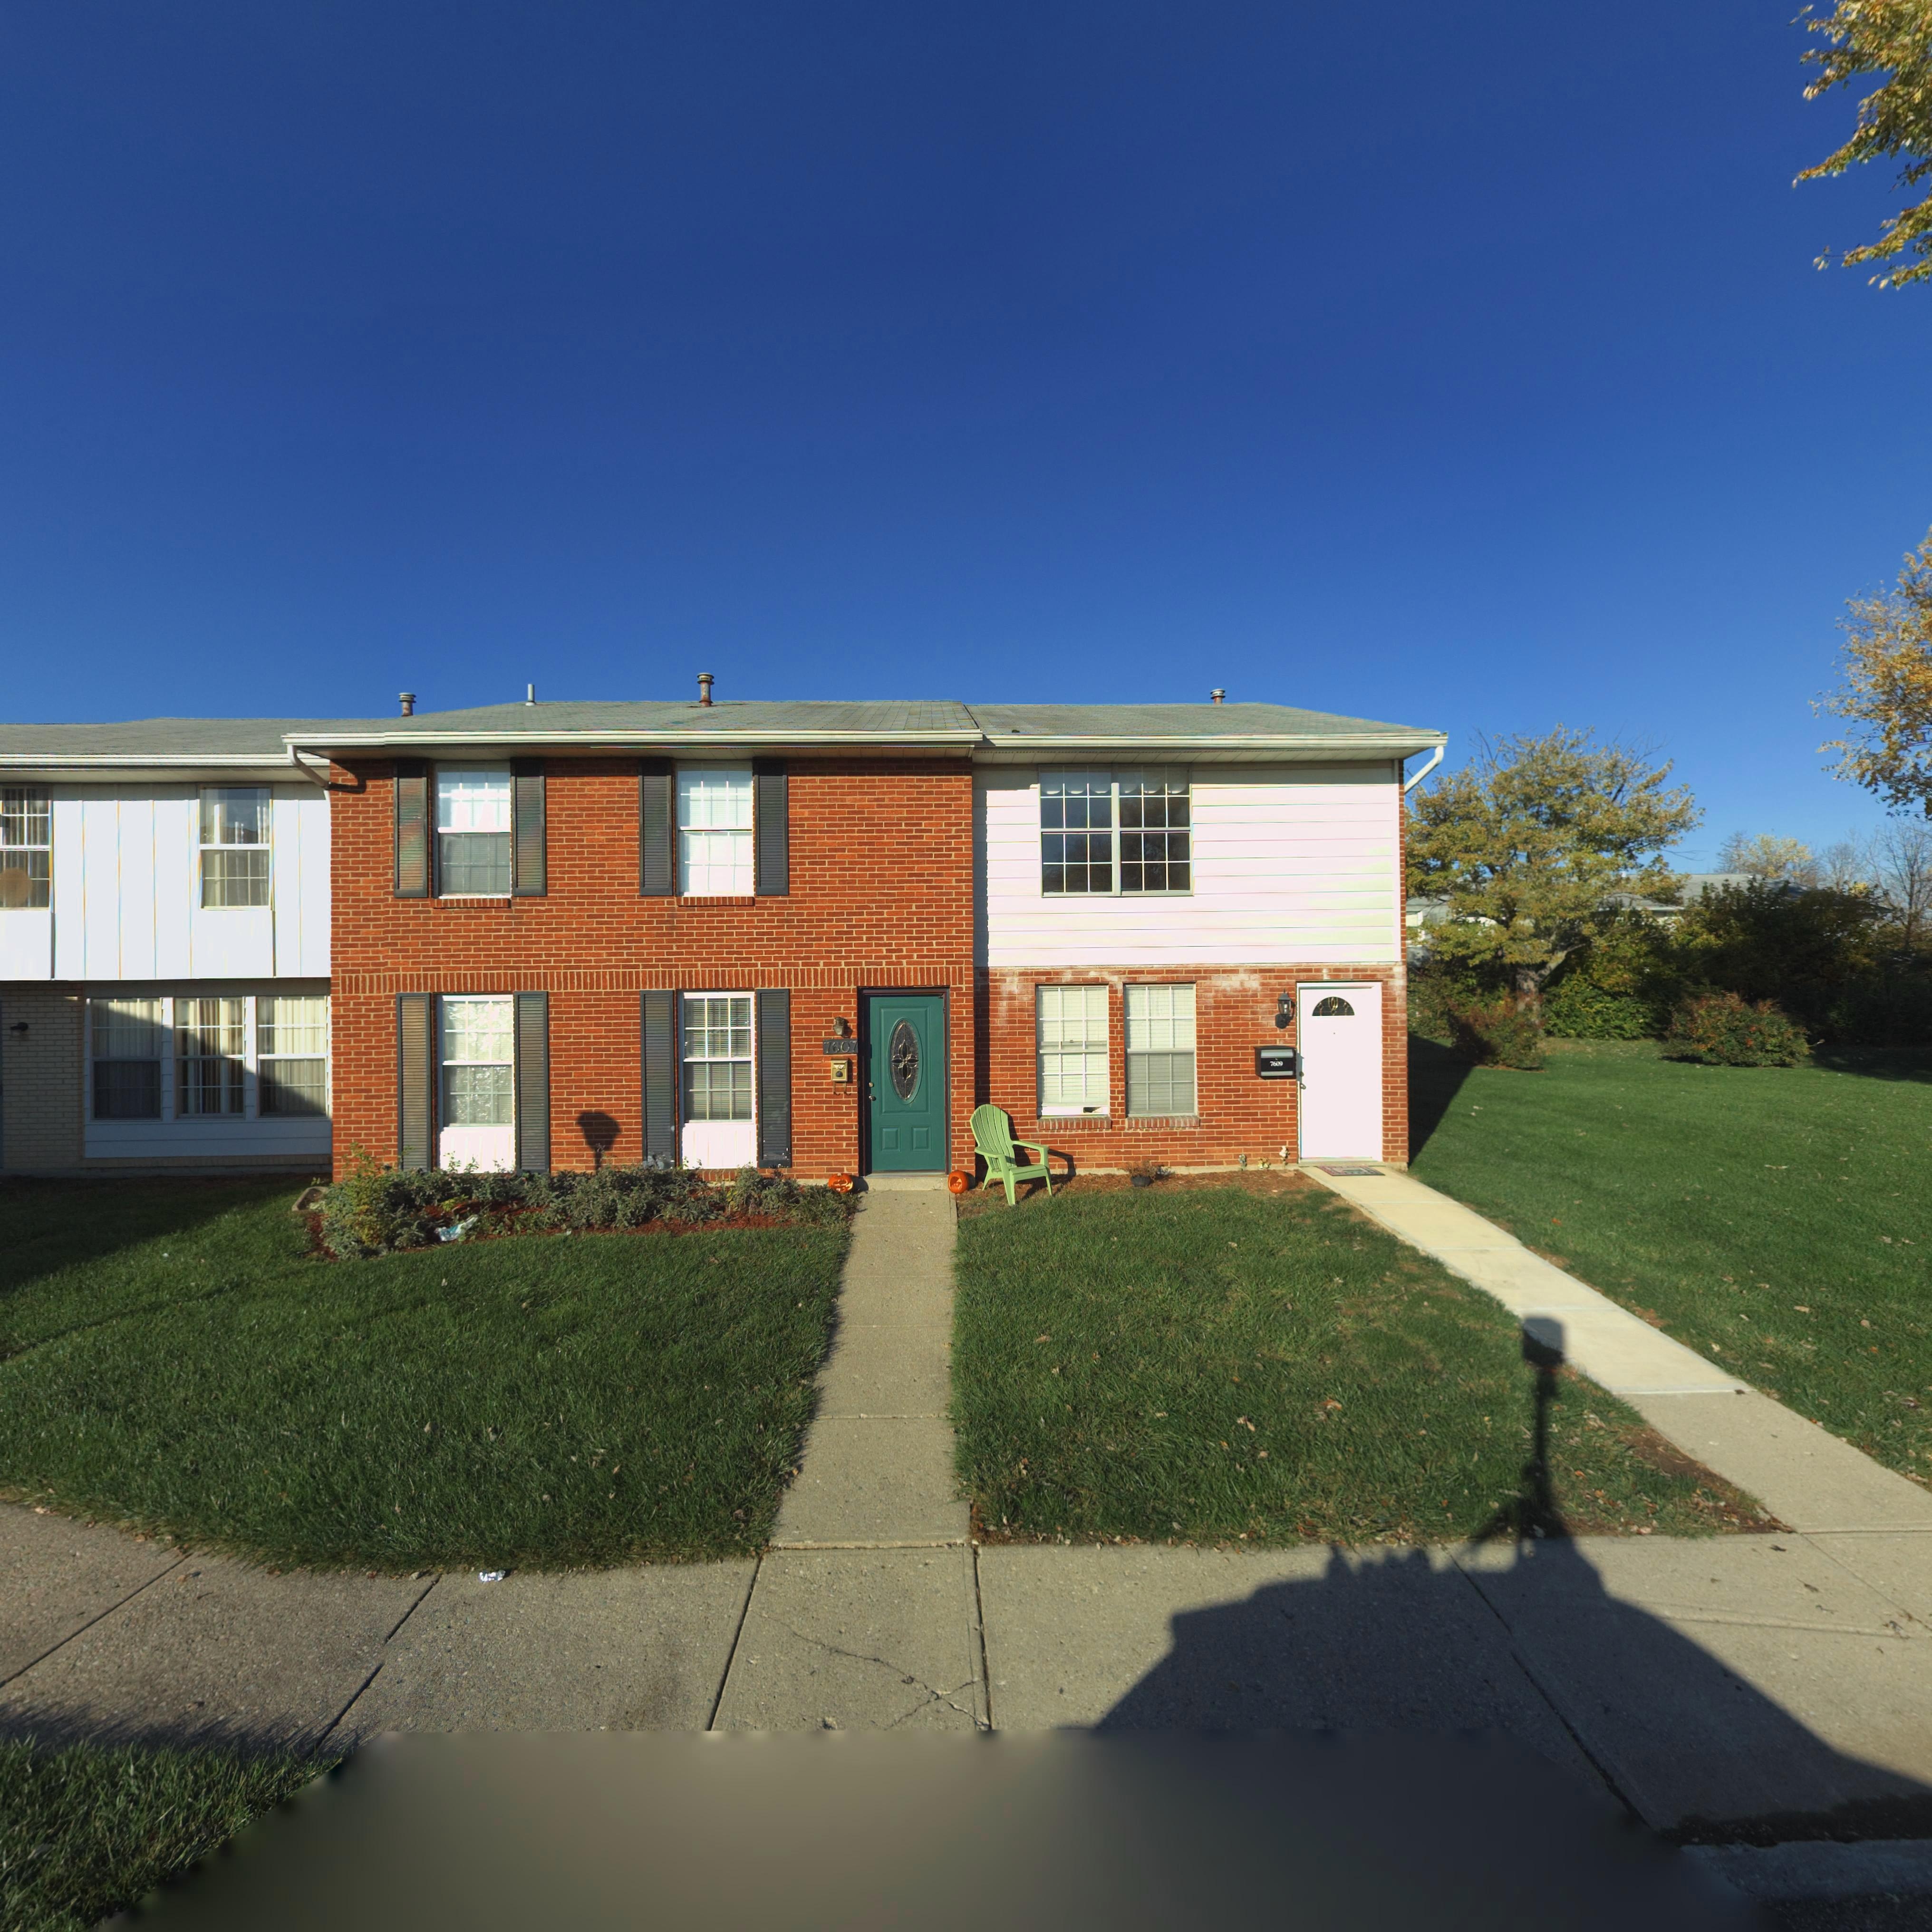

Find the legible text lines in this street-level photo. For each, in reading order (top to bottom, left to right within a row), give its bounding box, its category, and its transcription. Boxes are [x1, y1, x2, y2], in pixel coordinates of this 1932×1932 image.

[823, 1040, 858, 1053] StreetNumber: 7607
[1269, 1060, 1284, 1067] StreetNumber: 7609